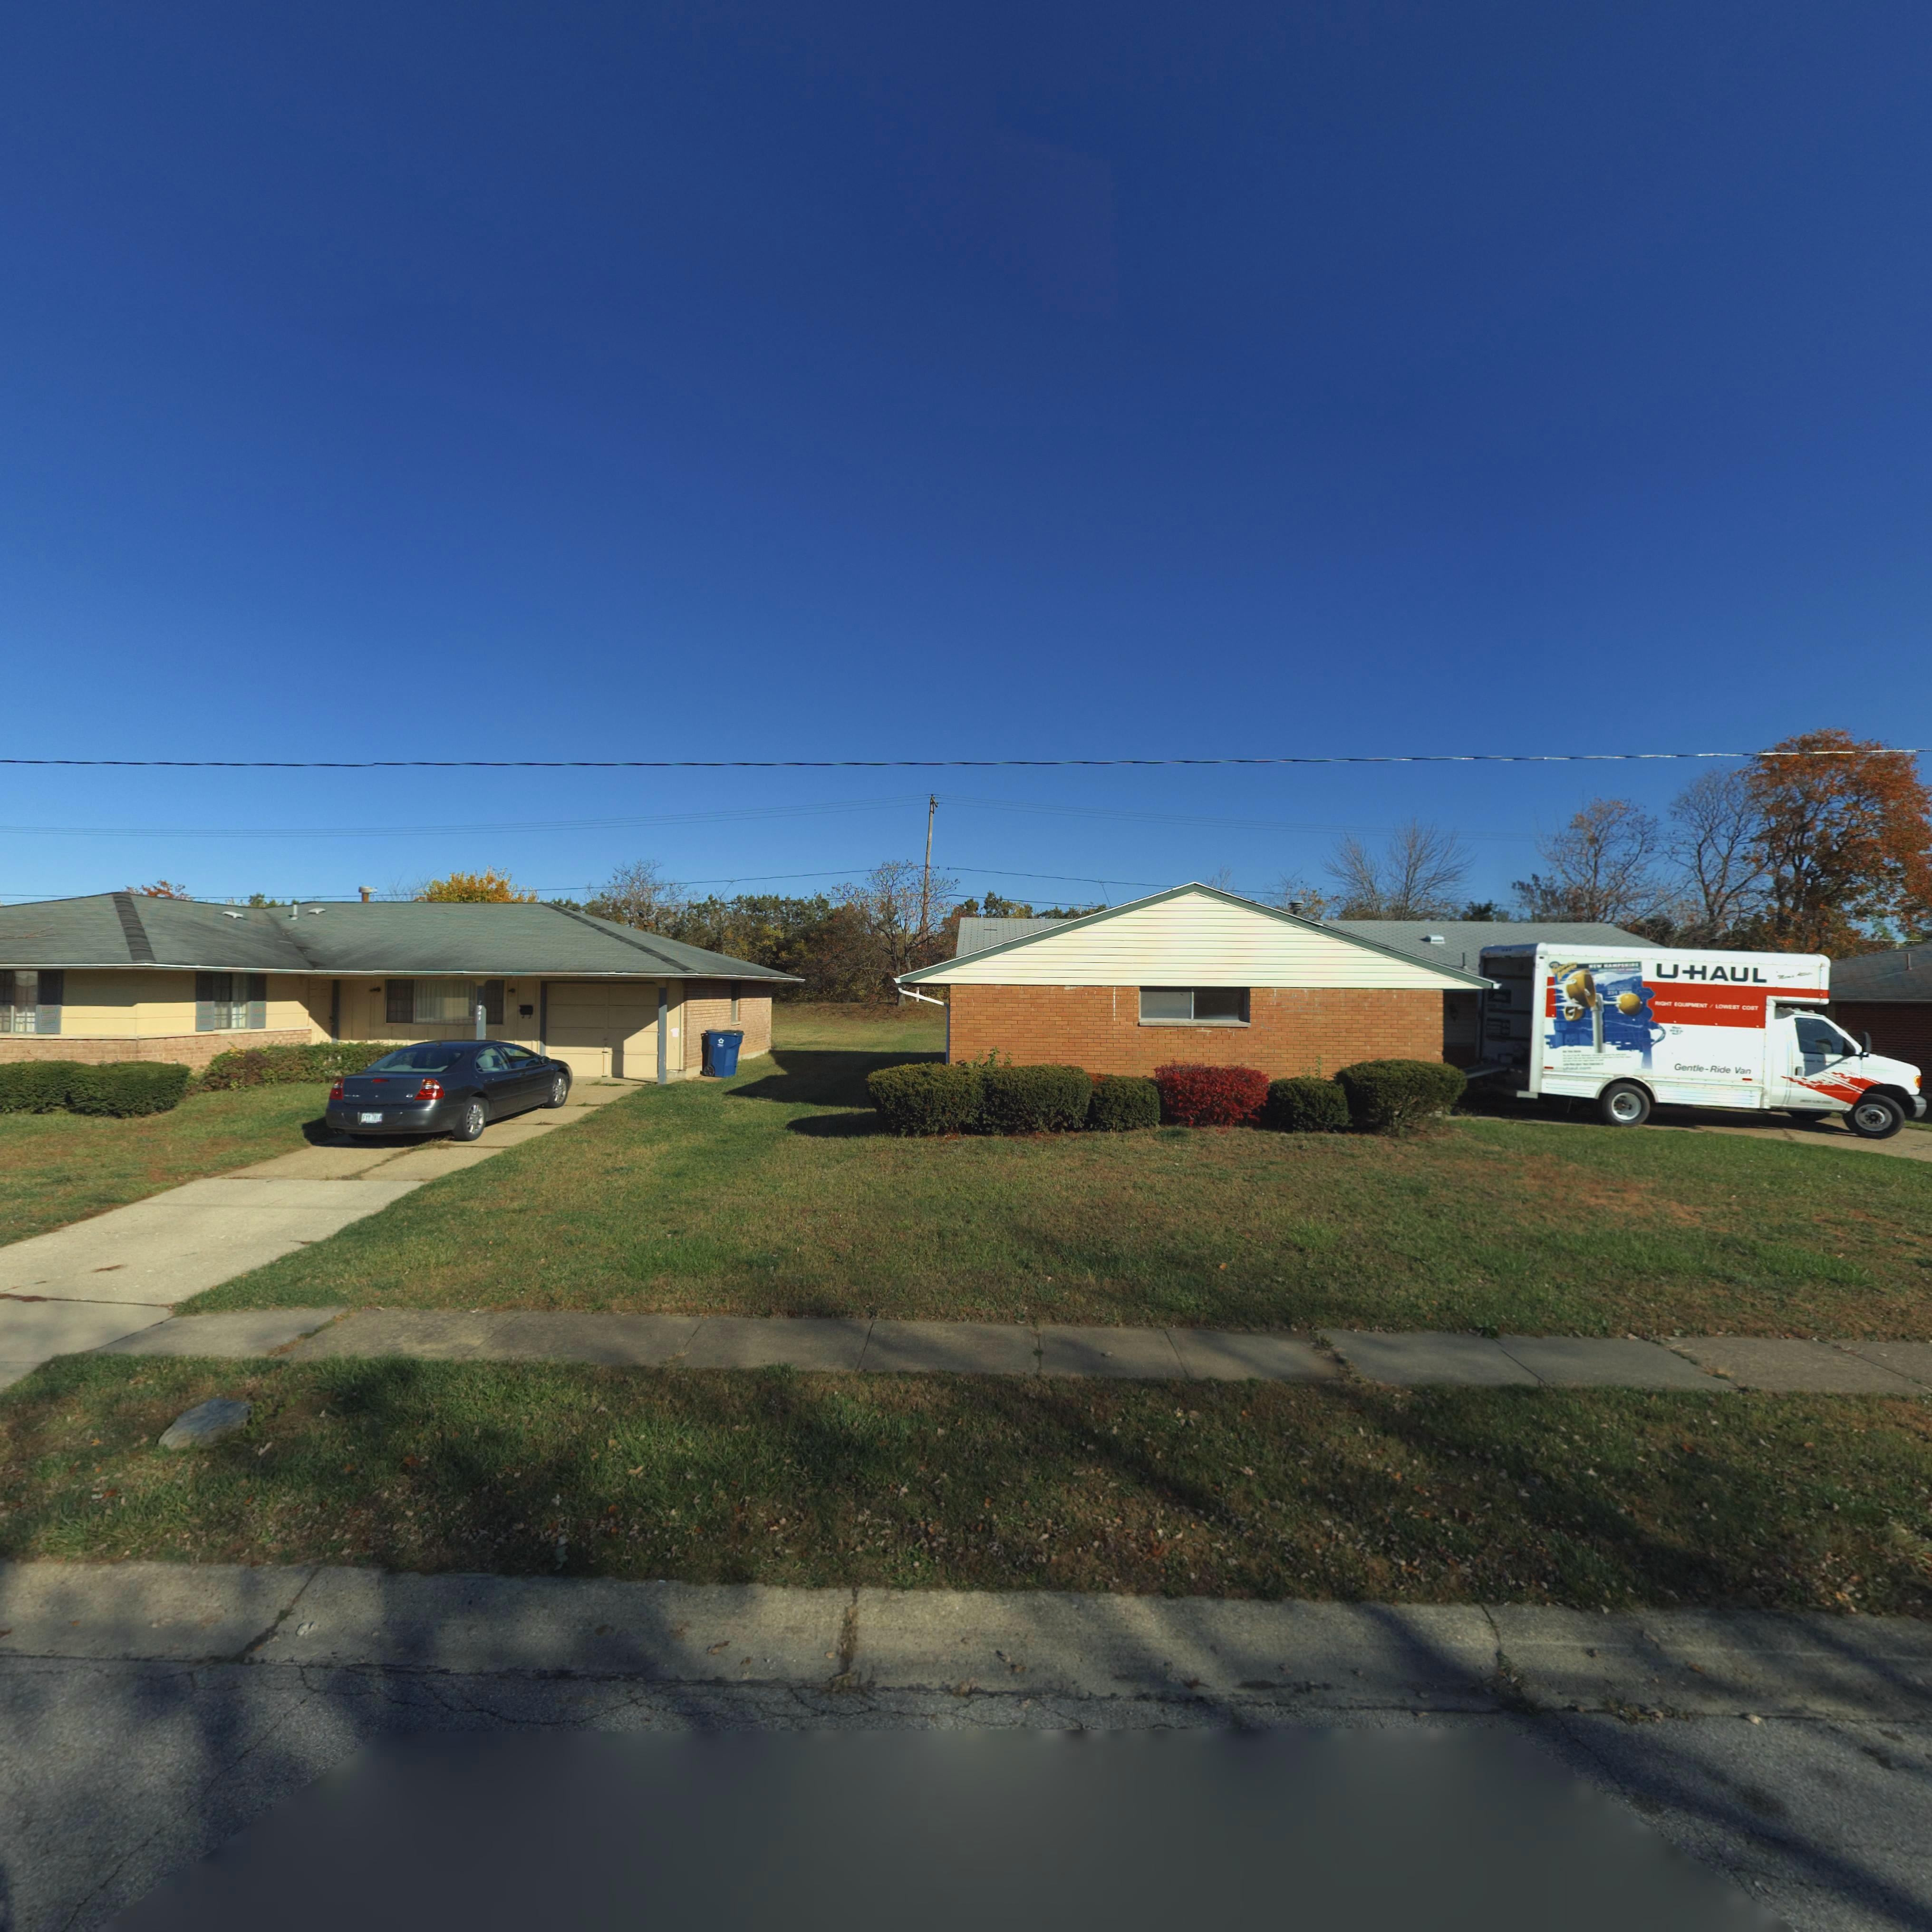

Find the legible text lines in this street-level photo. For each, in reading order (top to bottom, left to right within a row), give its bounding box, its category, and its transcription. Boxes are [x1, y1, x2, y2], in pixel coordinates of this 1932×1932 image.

[477, 999, 483, 1021] StreetNumber: 7941